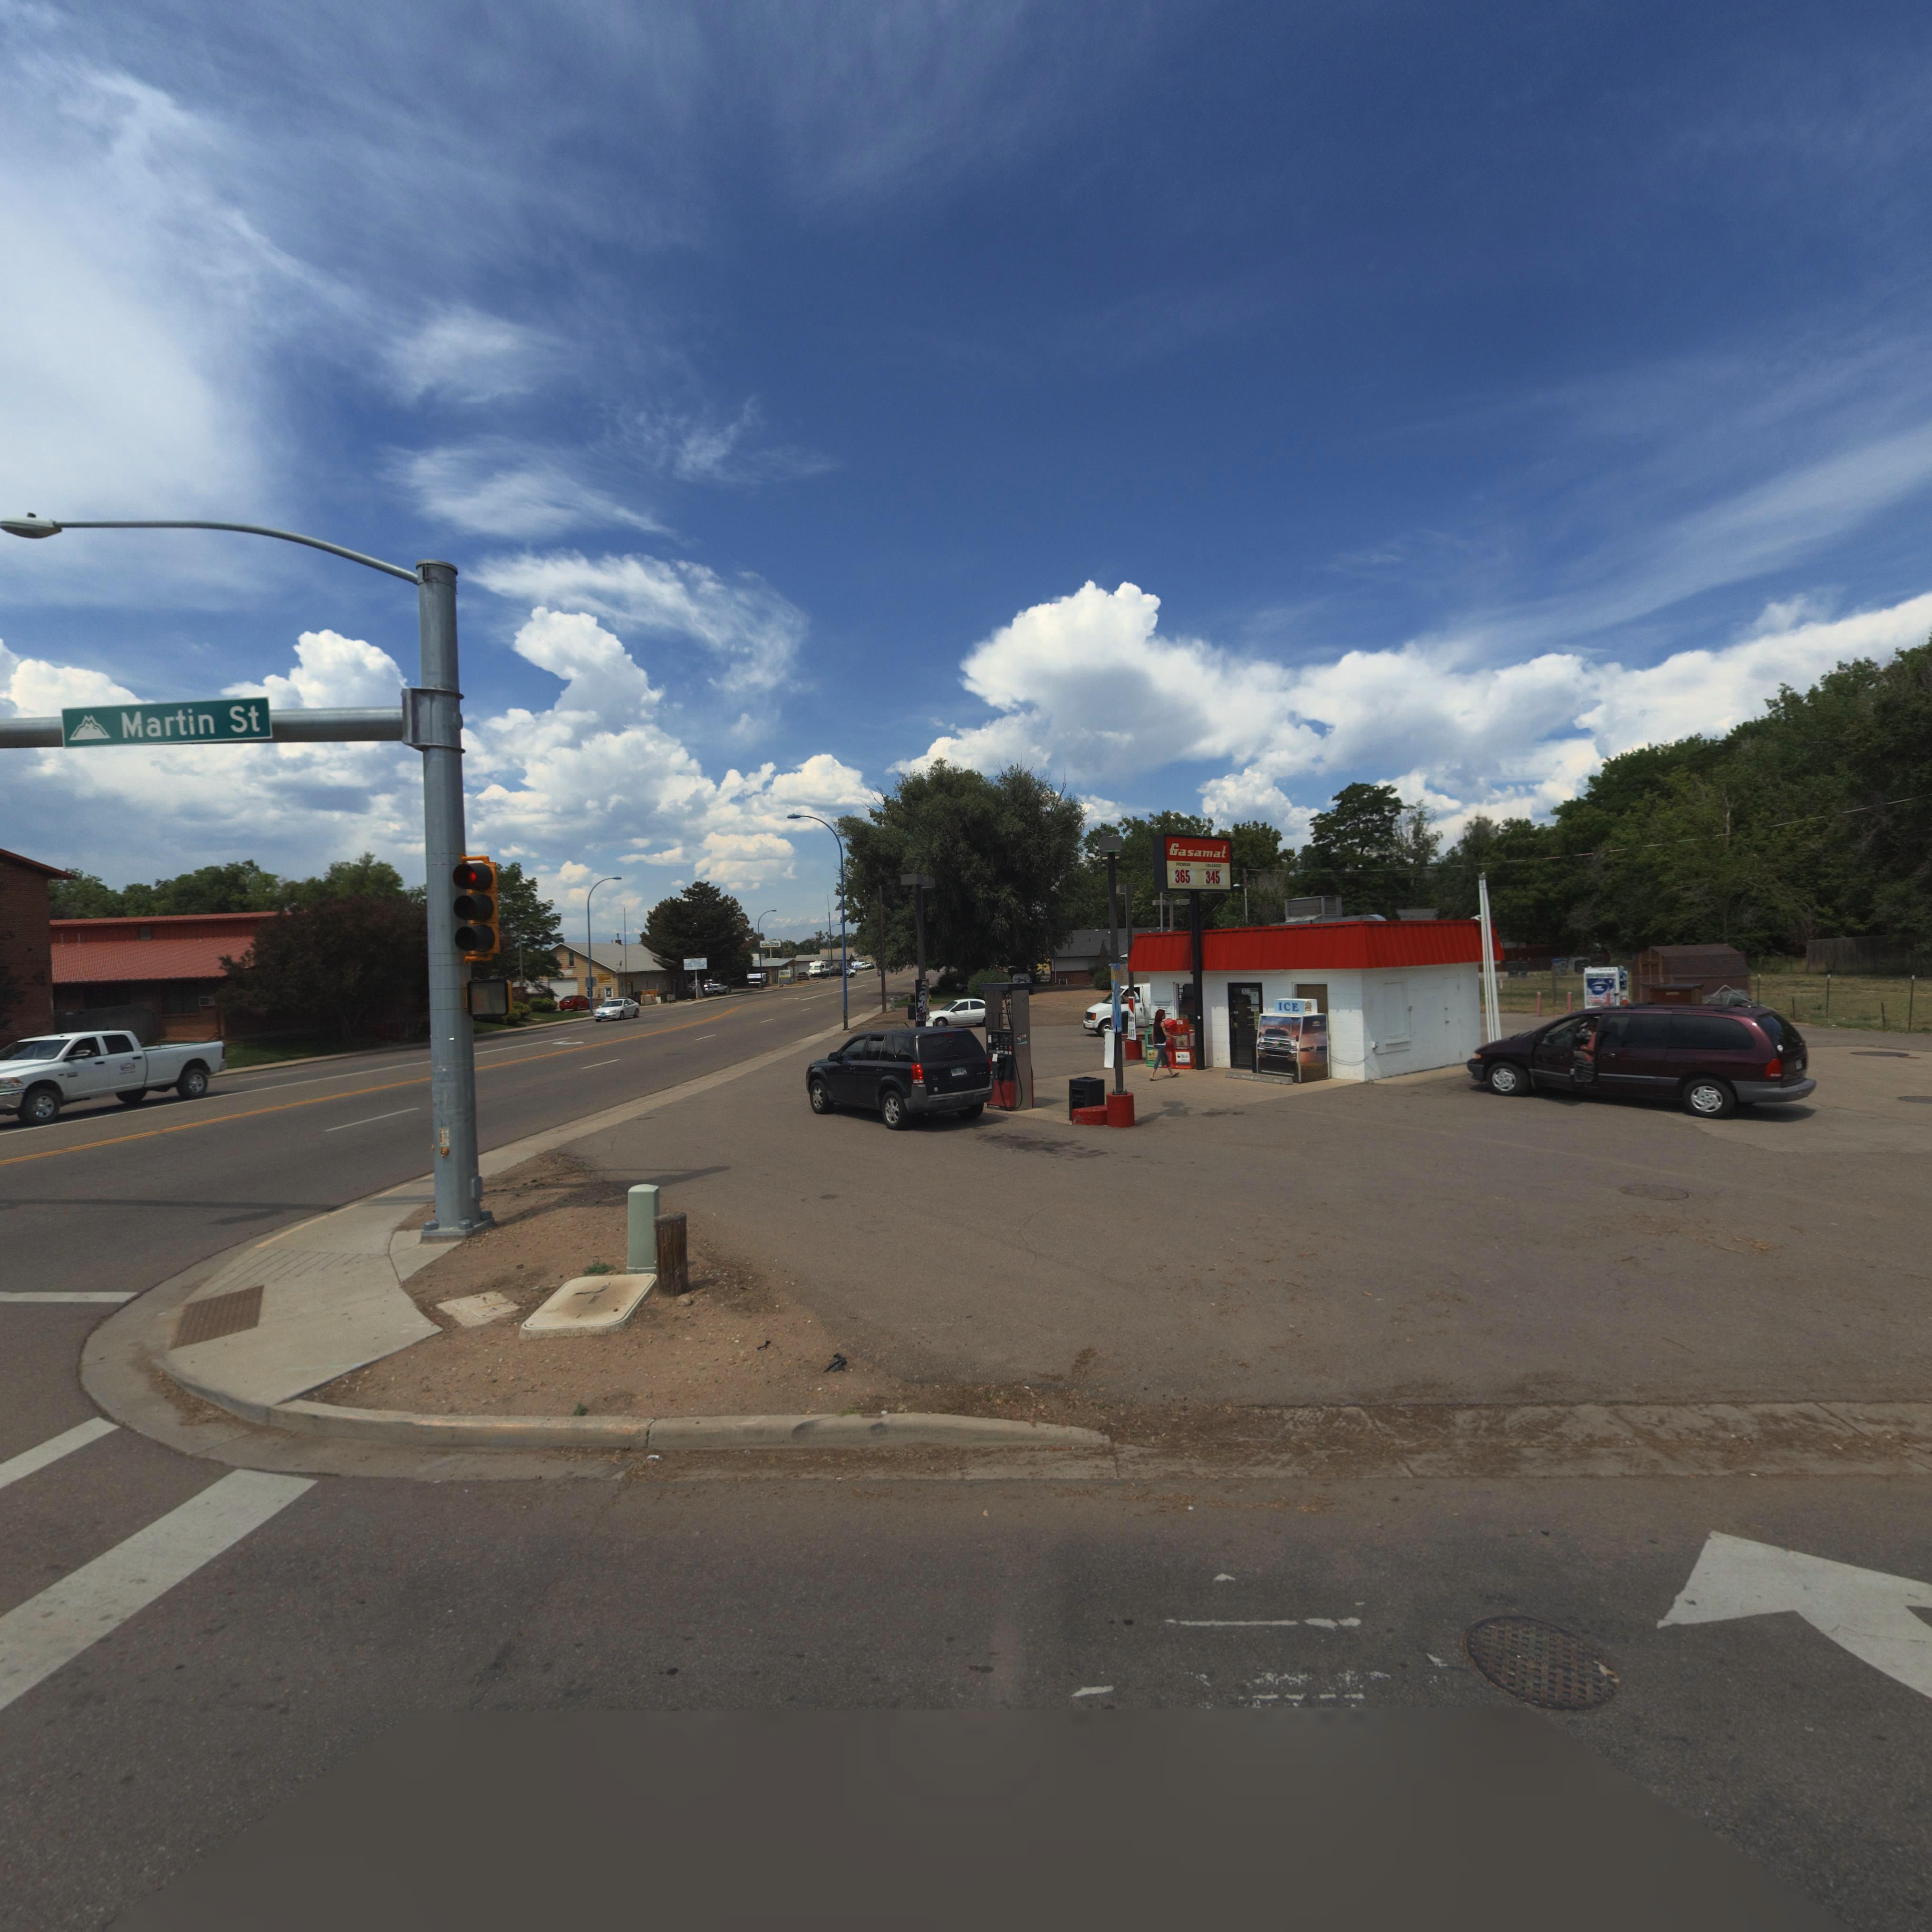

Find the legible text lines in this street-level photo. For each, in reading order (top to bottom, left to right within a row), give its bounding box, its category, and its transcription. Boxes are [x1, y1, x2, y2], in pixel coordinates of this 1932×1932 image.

[113, 701, 265, 742] StreetName: Martin St
[1167, 841, 1228, 858] BusinessName: Gasamat
[1241, 988, 1251, 995] StreetNumber: 301